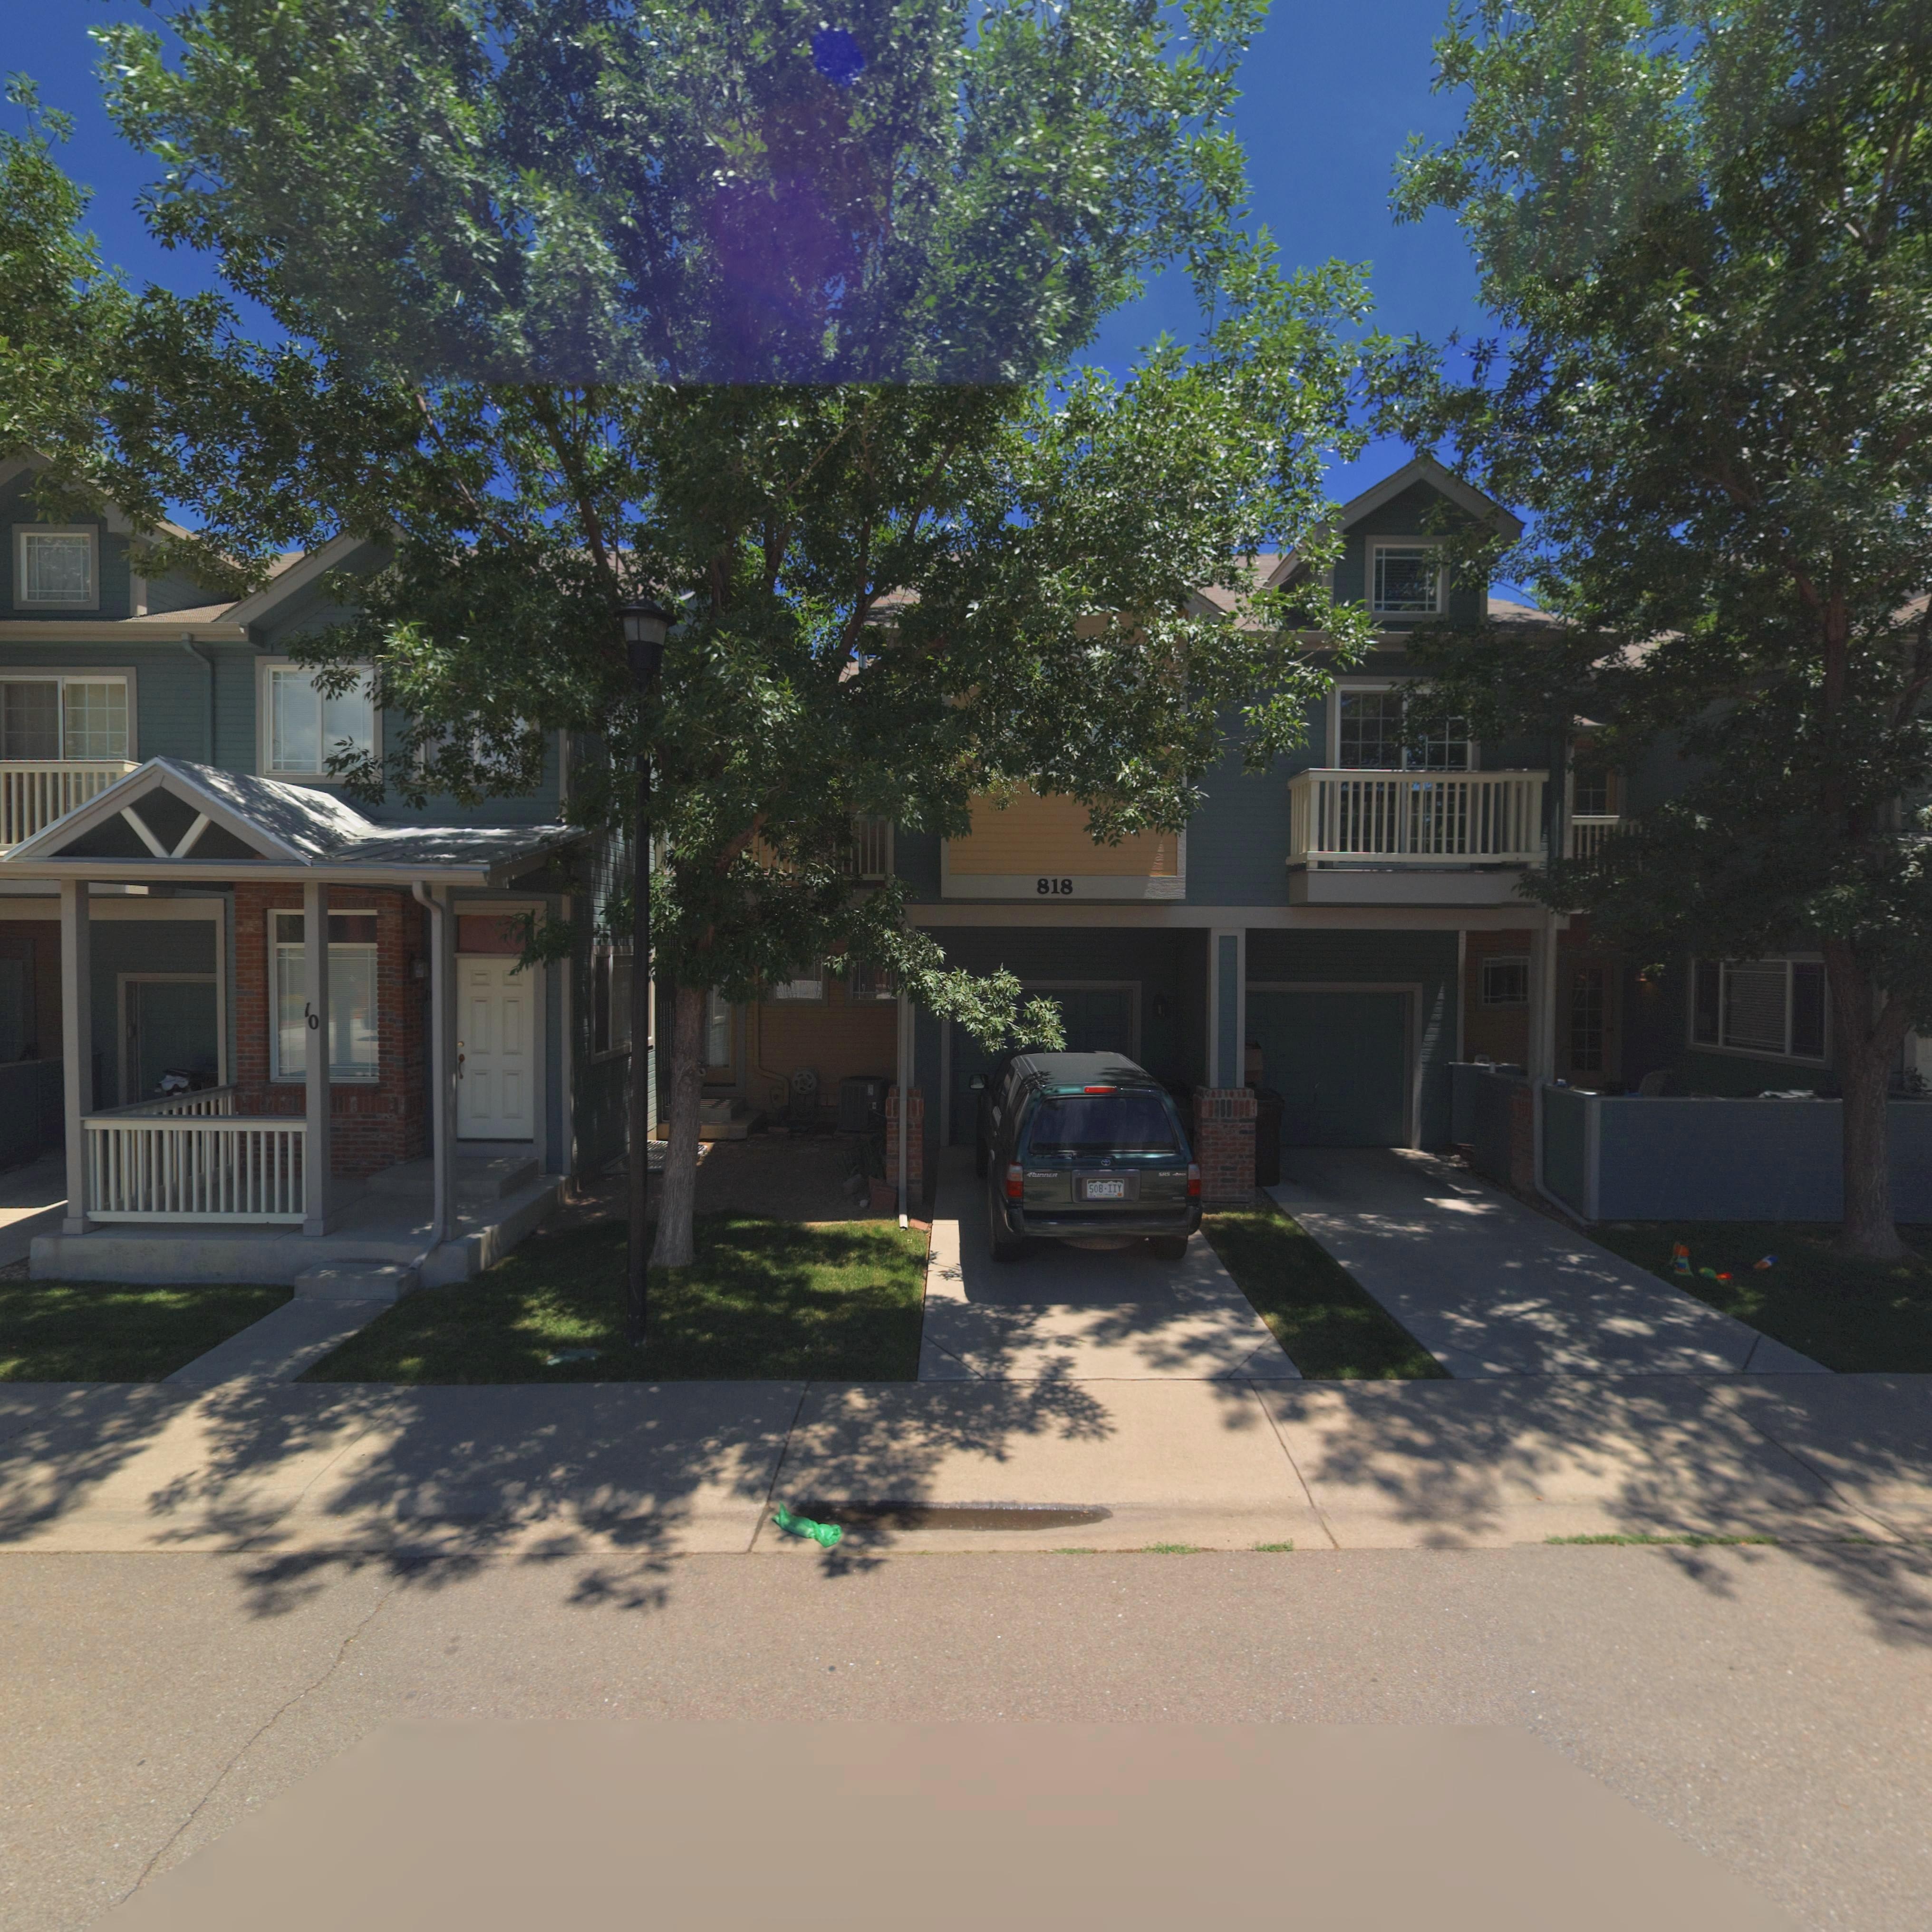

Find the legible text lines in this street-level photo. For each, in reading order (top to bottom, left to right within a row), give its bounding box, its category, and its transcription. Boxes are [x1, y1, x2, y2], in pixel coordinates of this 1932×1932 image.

[1036, 878, 1073, 895] StreetNumber: 818
[304, 1001, 319, 1031] SecondaryUnitDesignator: 10